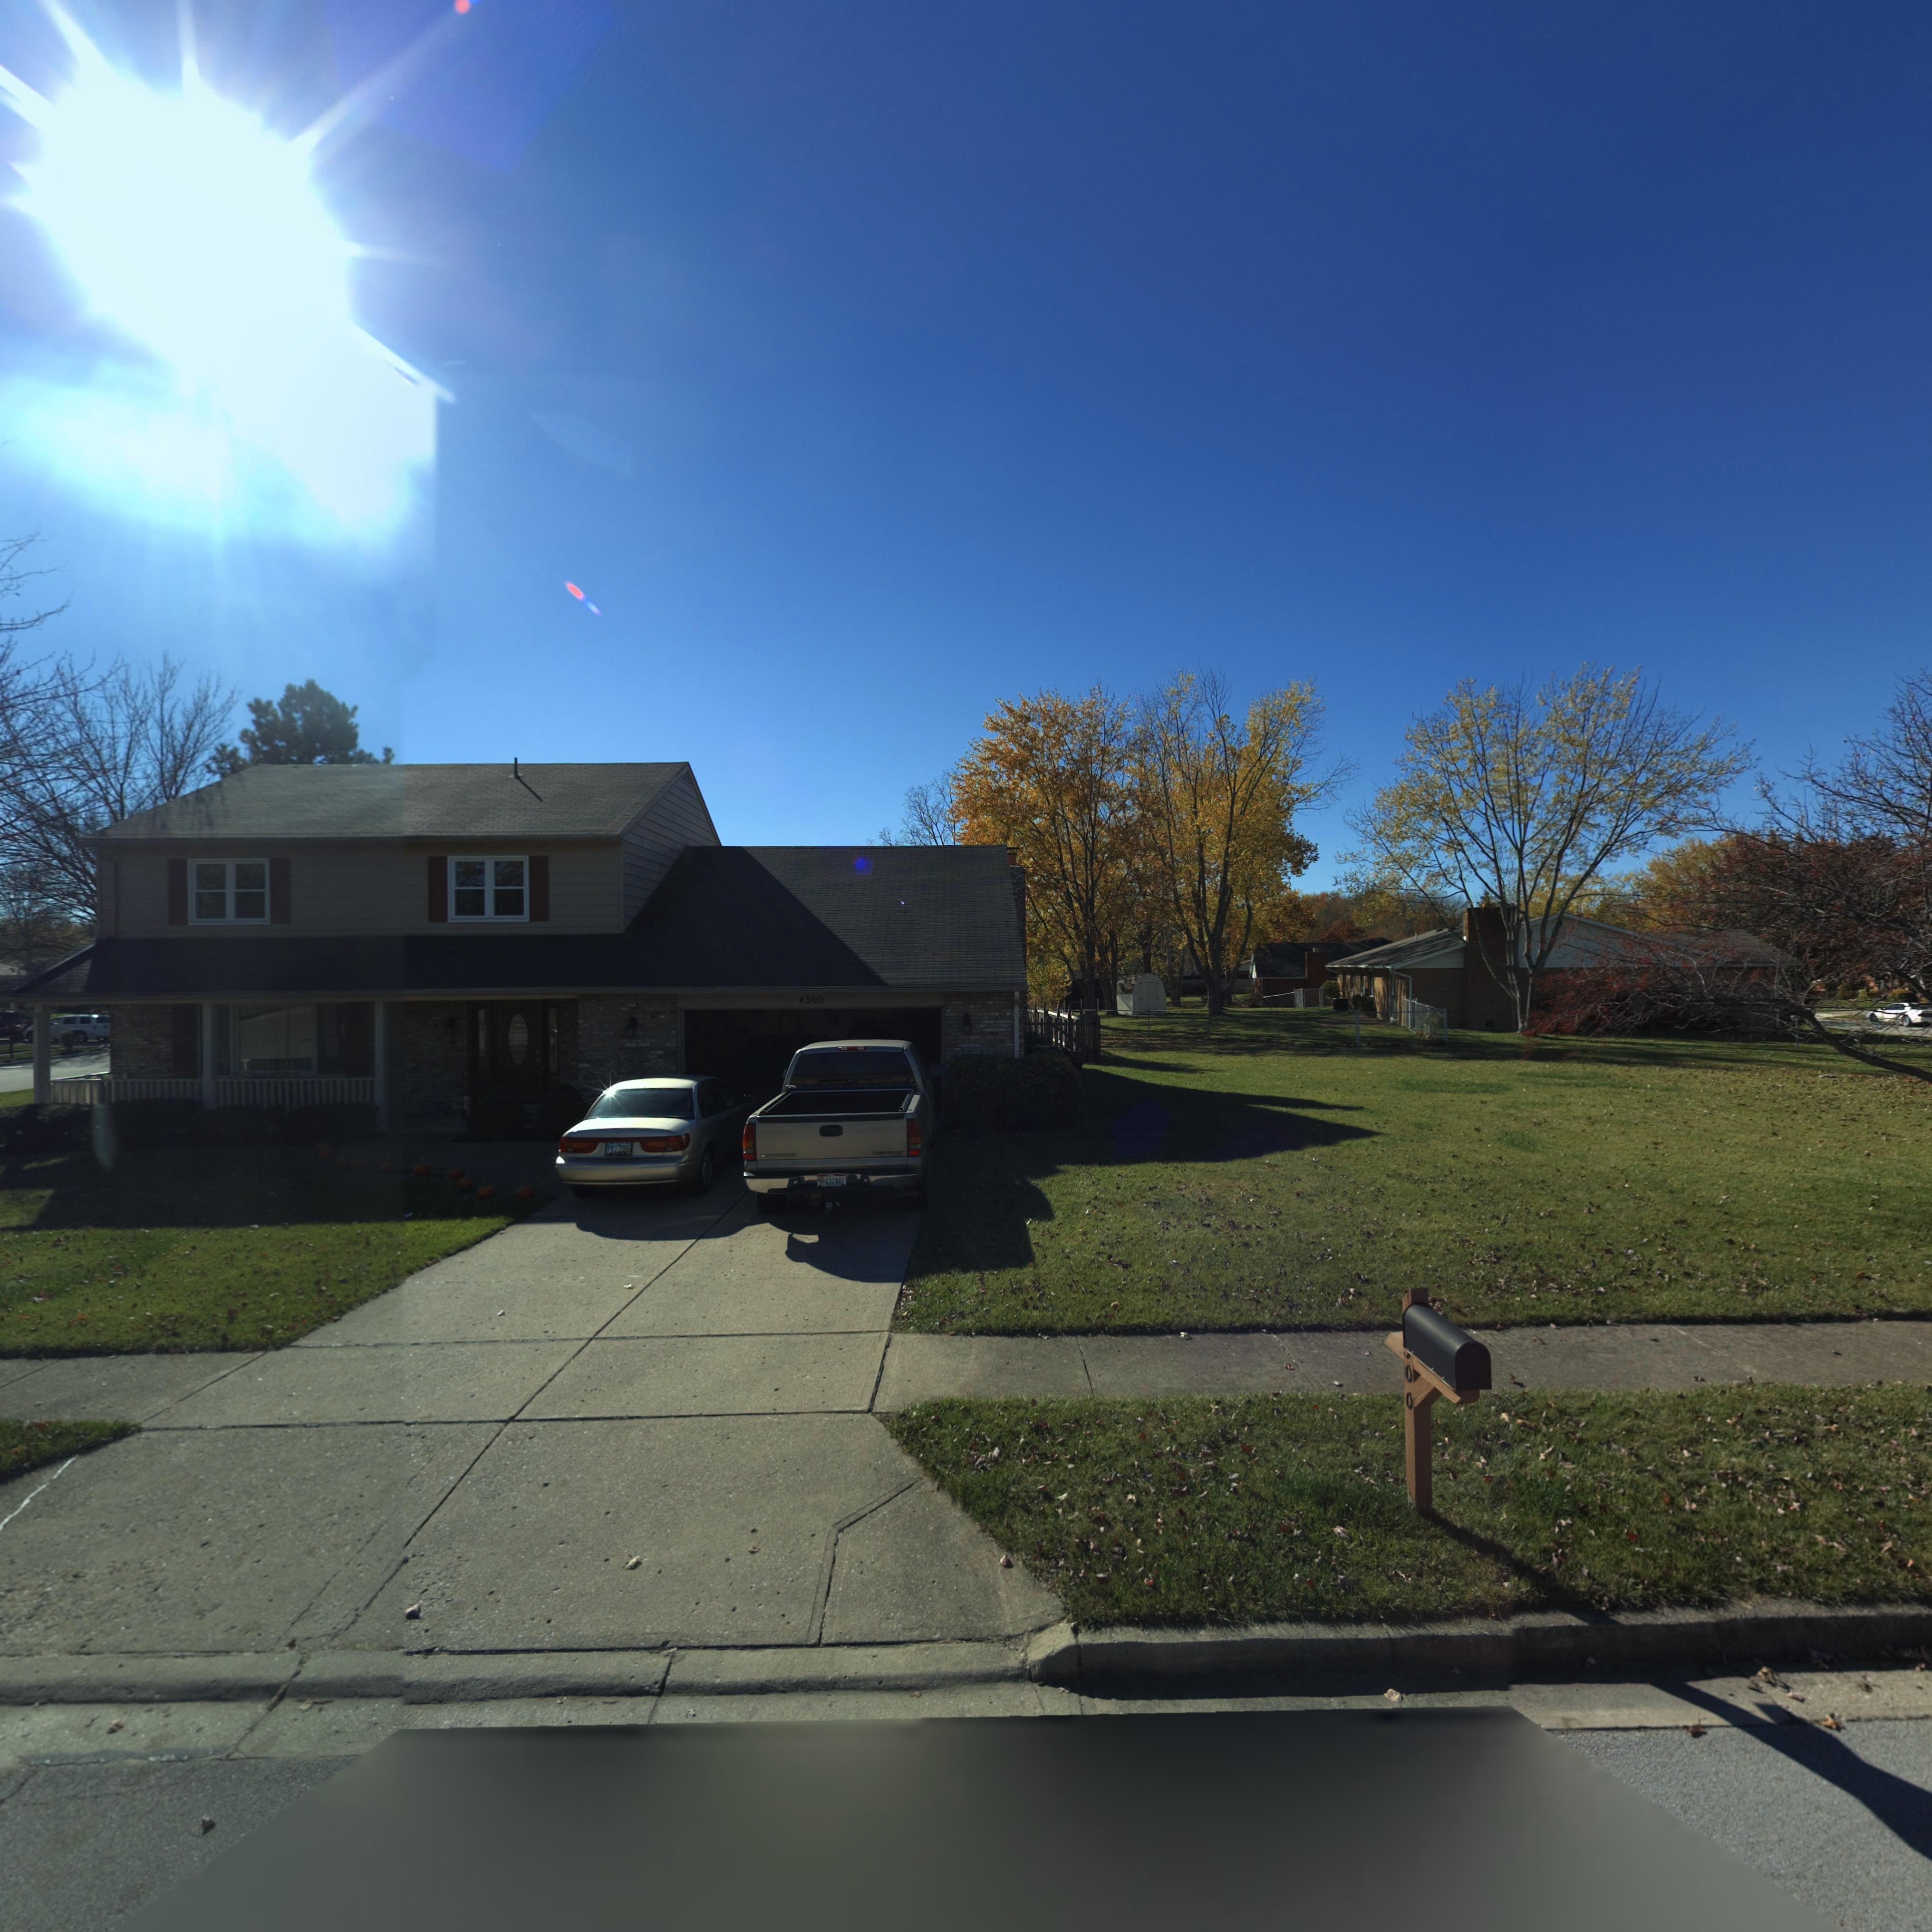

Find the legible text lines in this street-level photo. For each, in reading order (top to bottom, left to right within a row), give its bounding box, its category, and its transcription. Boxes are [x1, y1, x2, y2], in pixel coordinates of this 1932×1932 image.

[798, 995, 824, 1005] StreetNumber: 4300
[1405, 1363, 1413, 1411] StreetNumber: 00